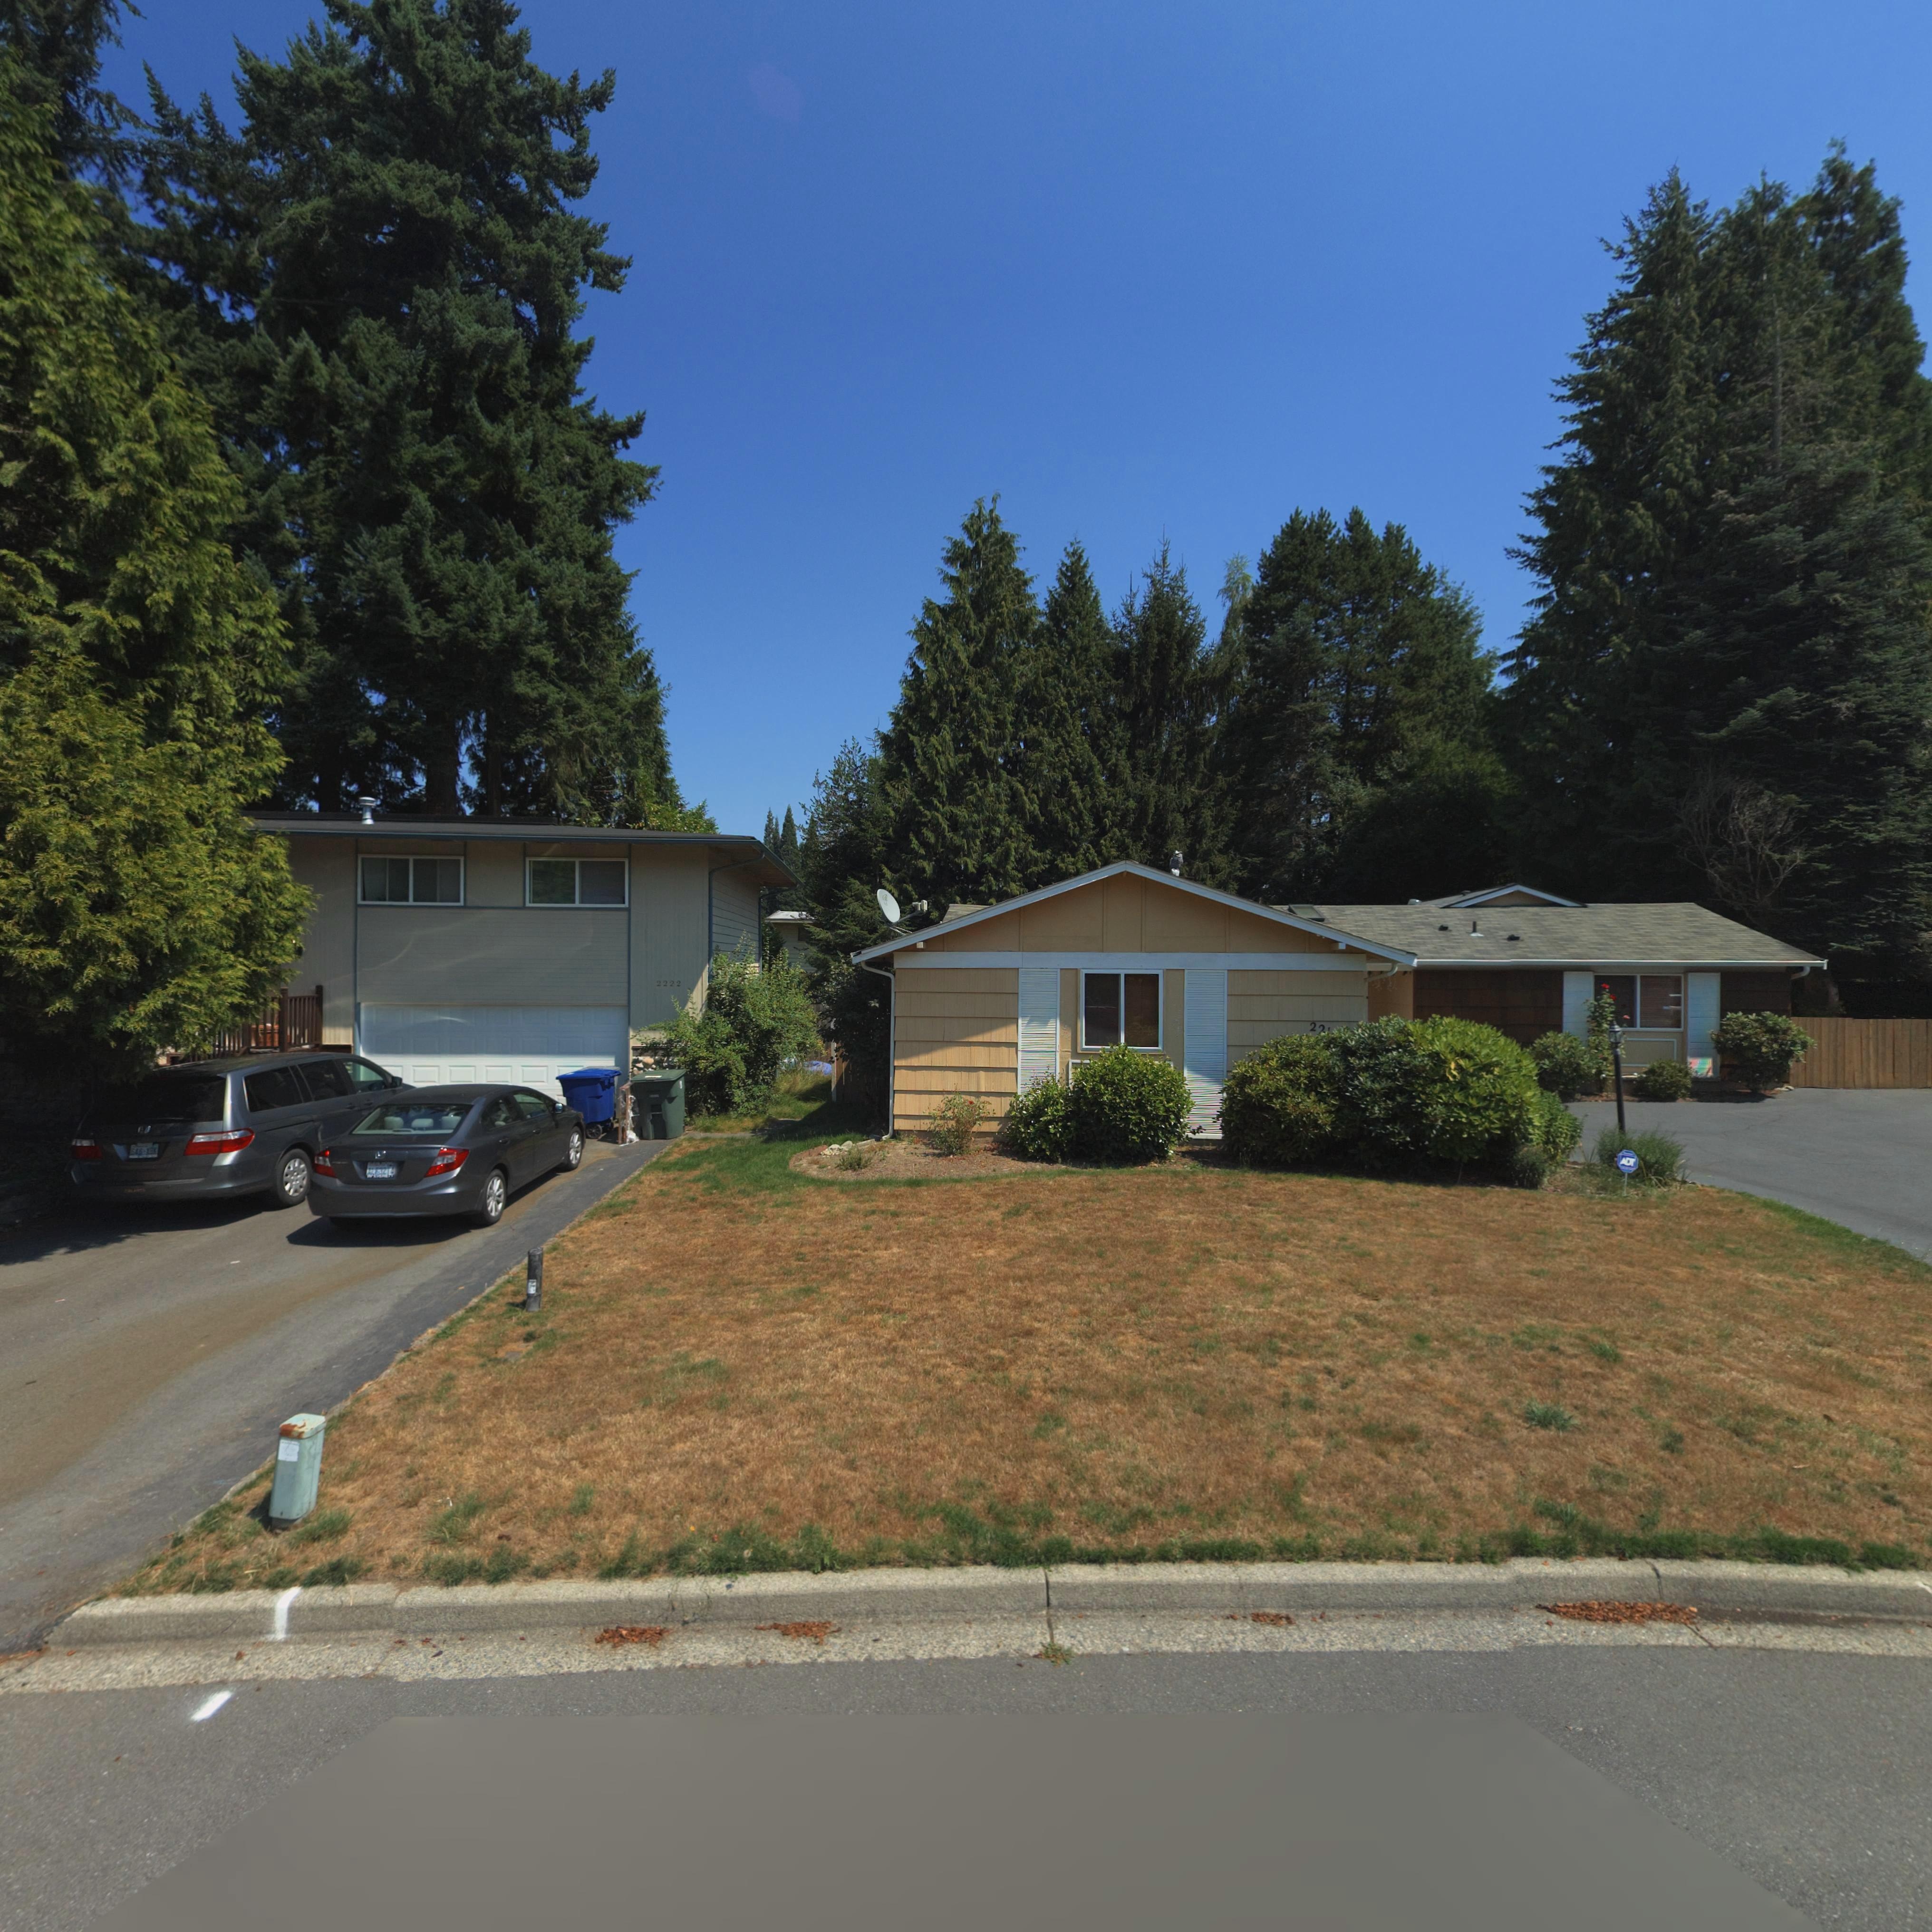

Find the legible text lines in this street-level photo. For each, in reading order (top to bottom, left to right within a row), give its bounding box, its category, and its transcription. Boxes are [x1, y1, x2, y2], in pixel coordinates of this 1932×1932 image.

[656, 979, 680, 987] StreetNumber: 2222
[1308, 1021, 1332, 1036] StreetNumber: 2**